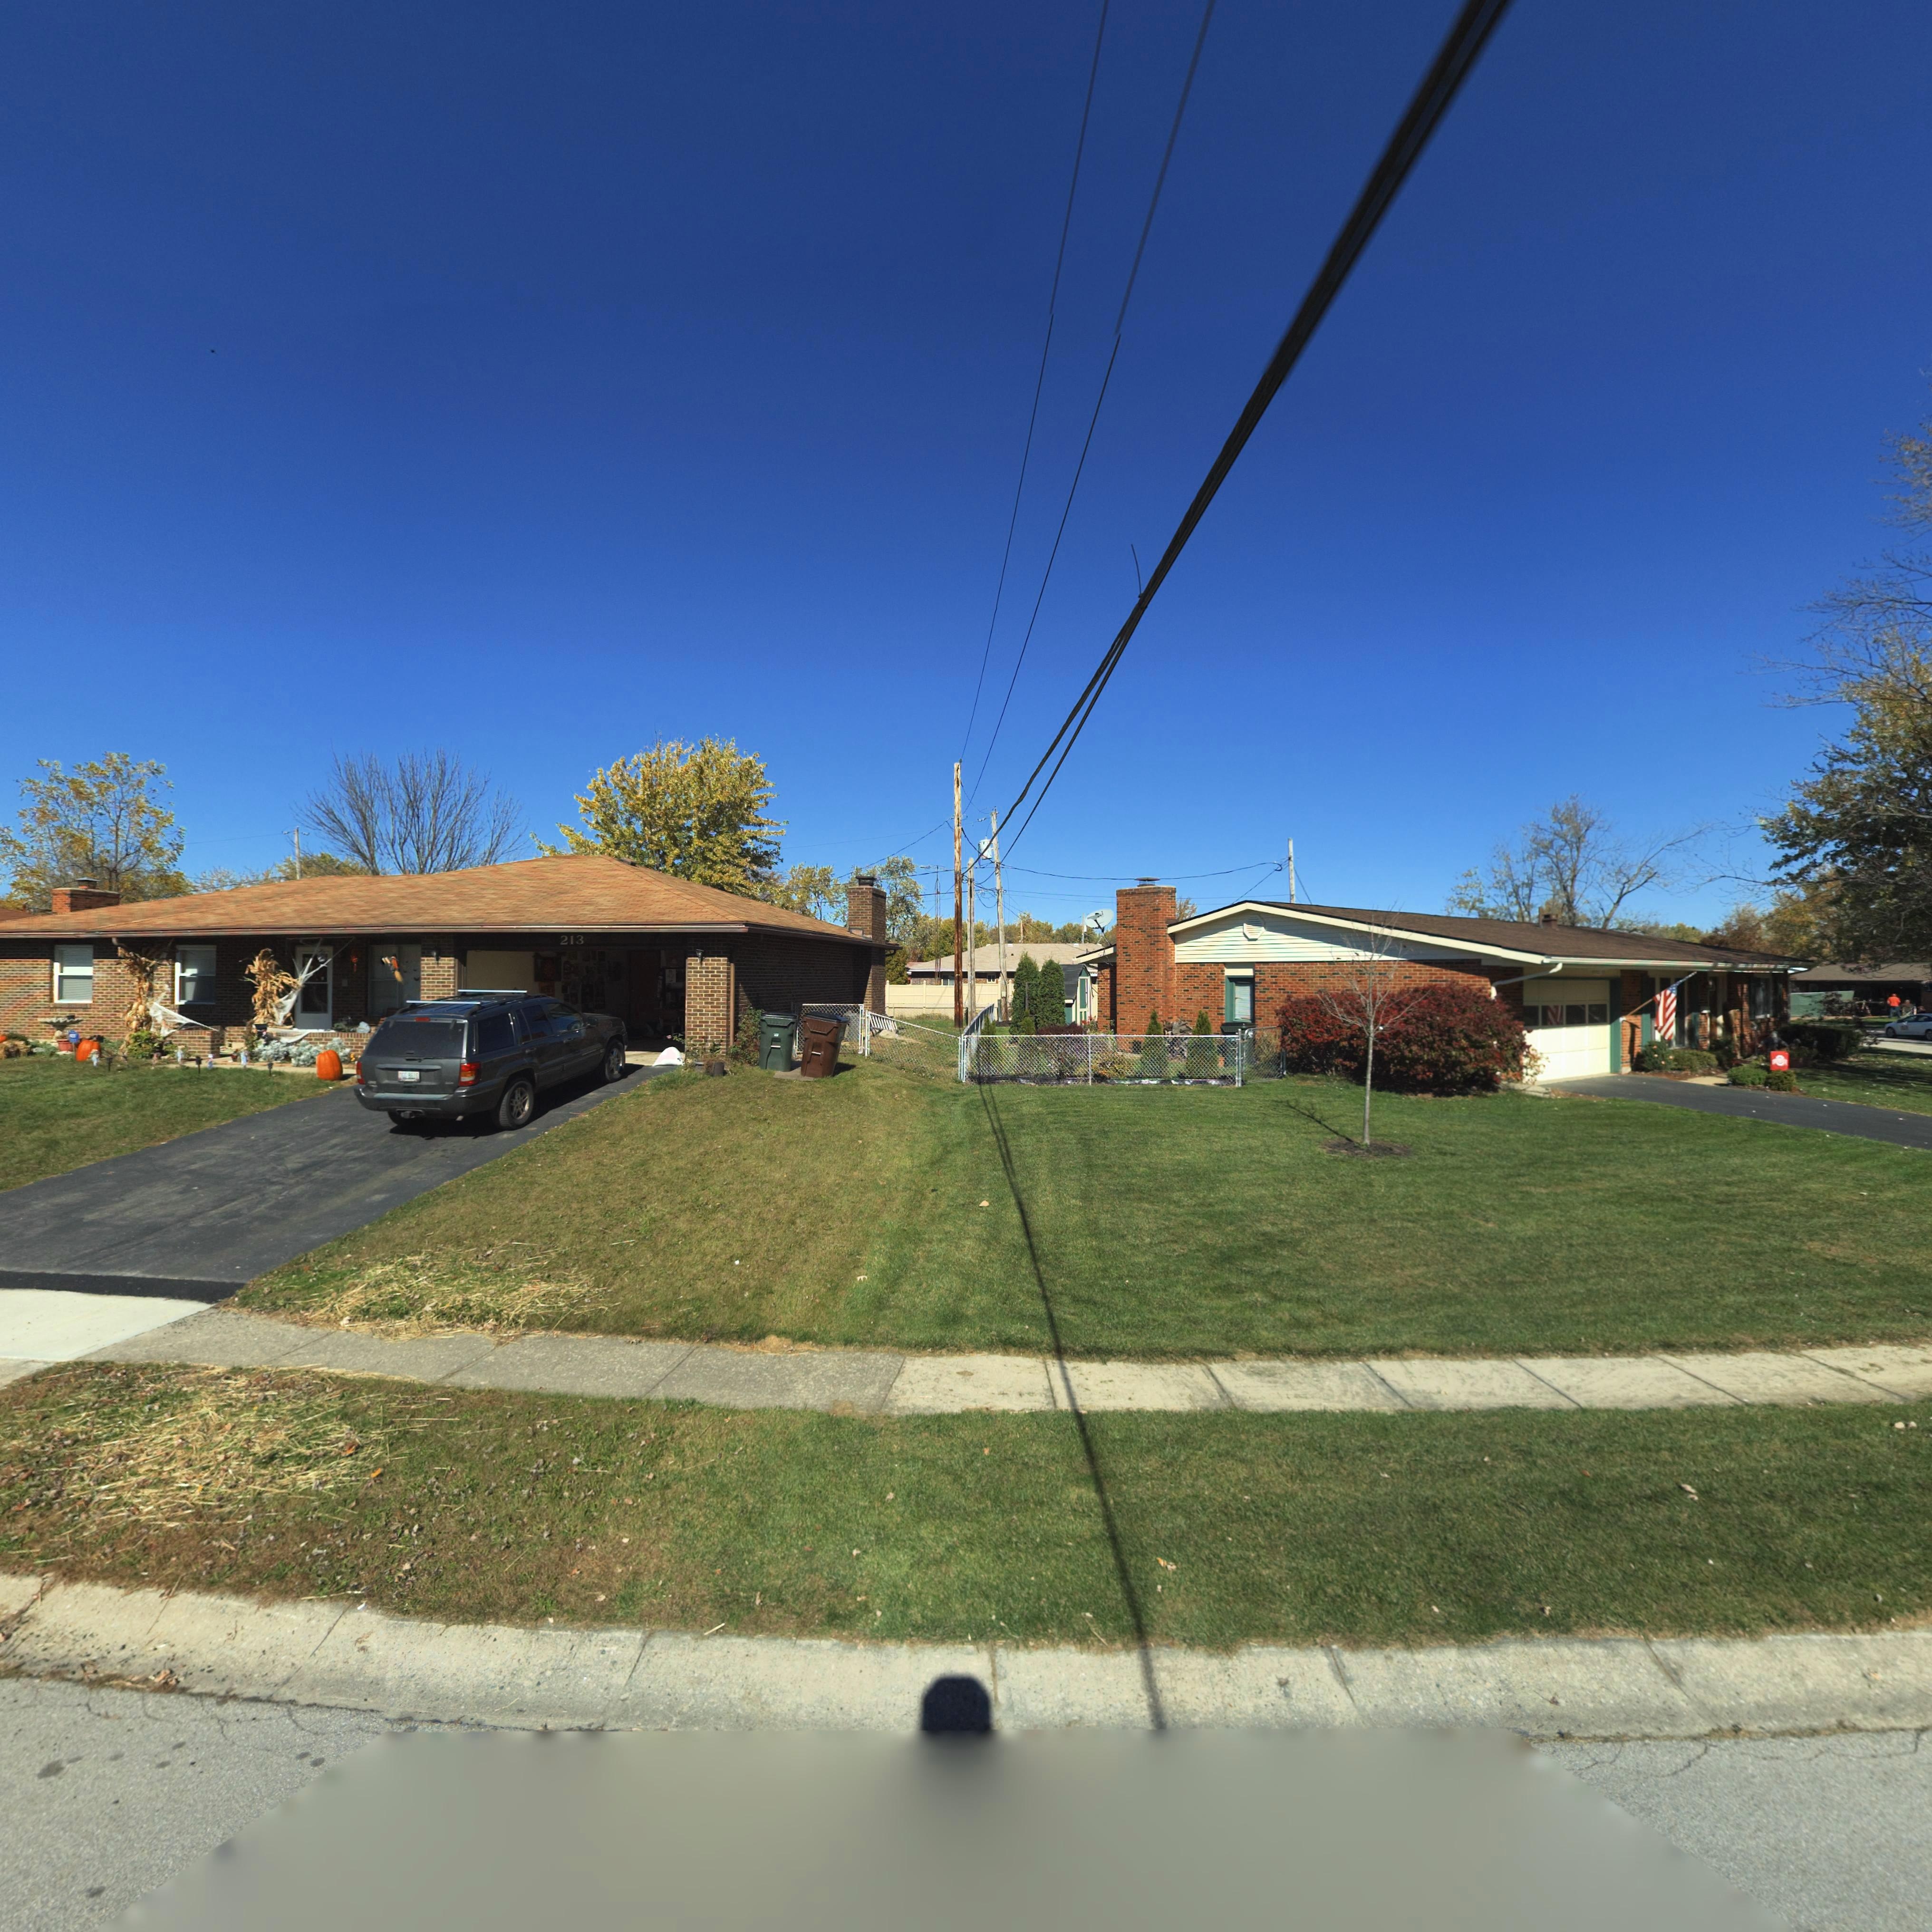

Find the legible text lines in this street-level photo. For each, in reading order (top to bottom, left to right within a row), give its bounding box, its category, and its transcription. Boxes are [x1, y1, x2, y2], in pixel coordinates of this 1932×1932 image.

[560, 934, 585, 946] StreetNumber: 213